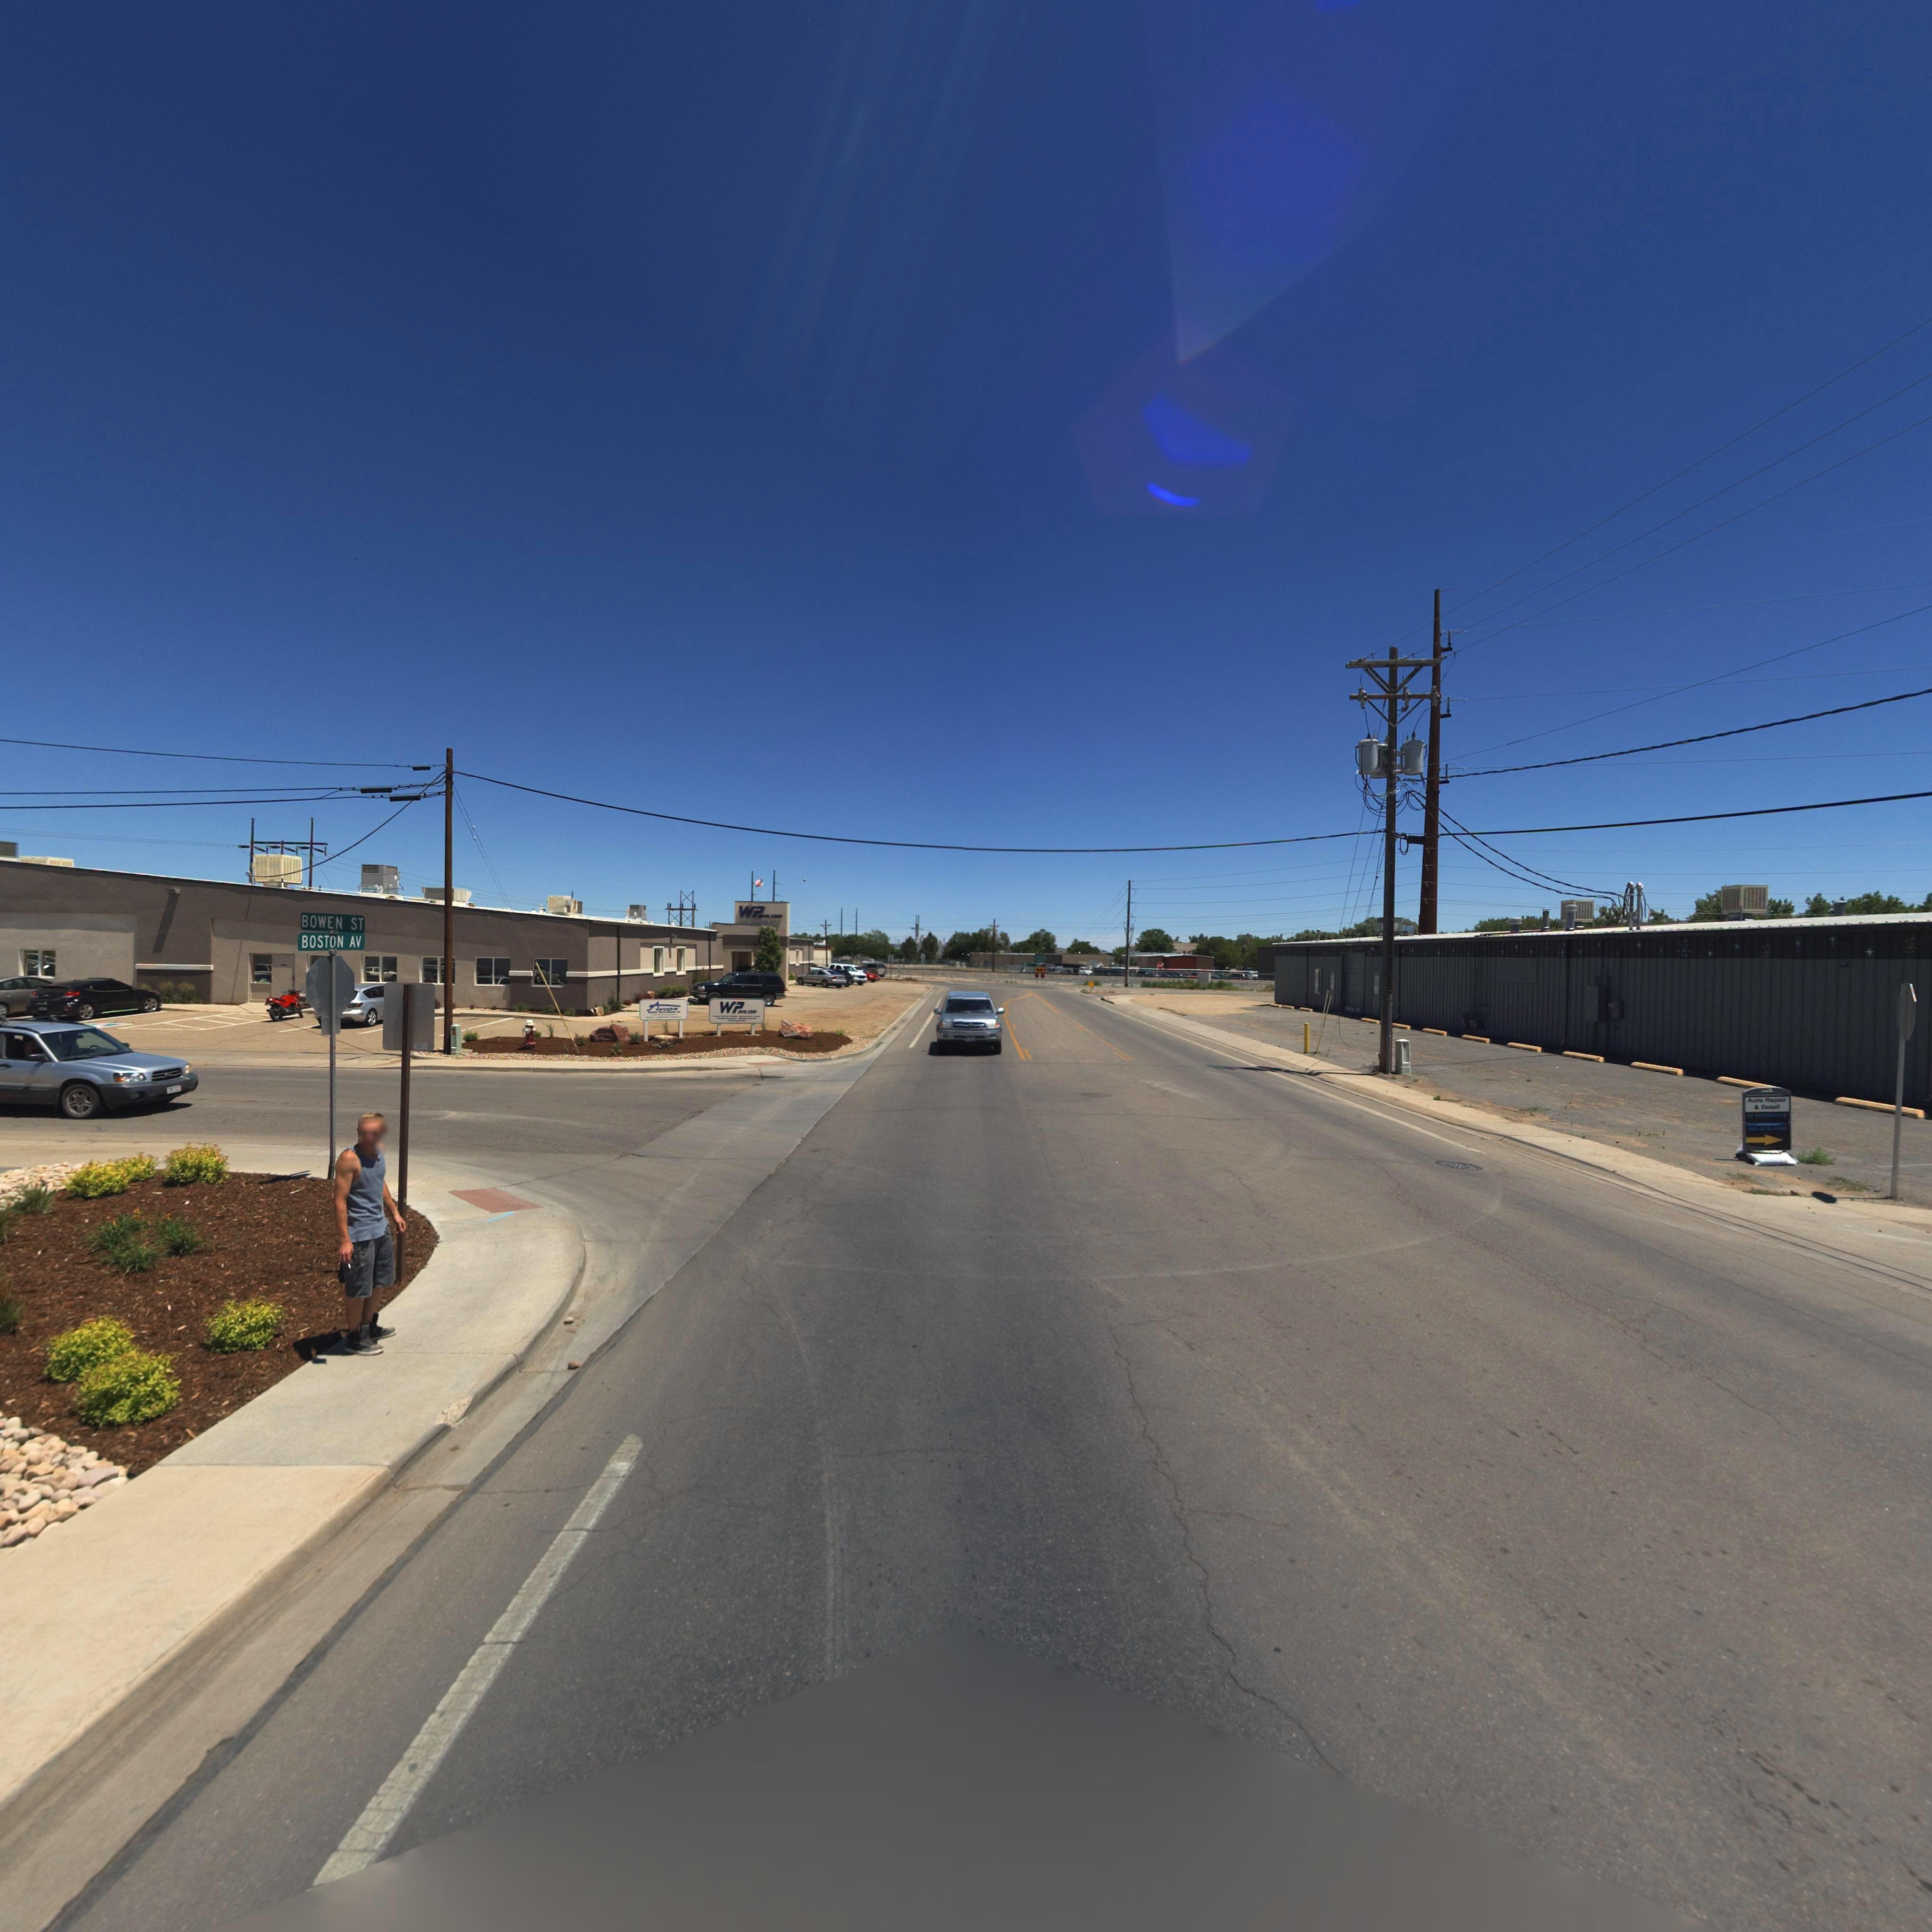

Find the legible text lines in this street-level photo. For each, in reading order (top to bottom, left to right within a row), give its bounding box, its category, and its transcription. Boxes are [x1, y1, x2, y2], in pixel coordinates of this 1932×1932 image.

[738, 906, 765, 918] BusinessName: WP
[757, 914, 782, 918] BusinessName: MFG.COM
[301, 914, 364, 931] StreetName: BOWEN ST
[301, 934, 362, 948] StreetName: BOSTON AV
[646, 1001, 681, 1011] BusinessName: Avio*
[719, 1001, 745, 1014] BusinessName: WP
[737, 1010, 757, 1014] BusinessName: MFG.COM